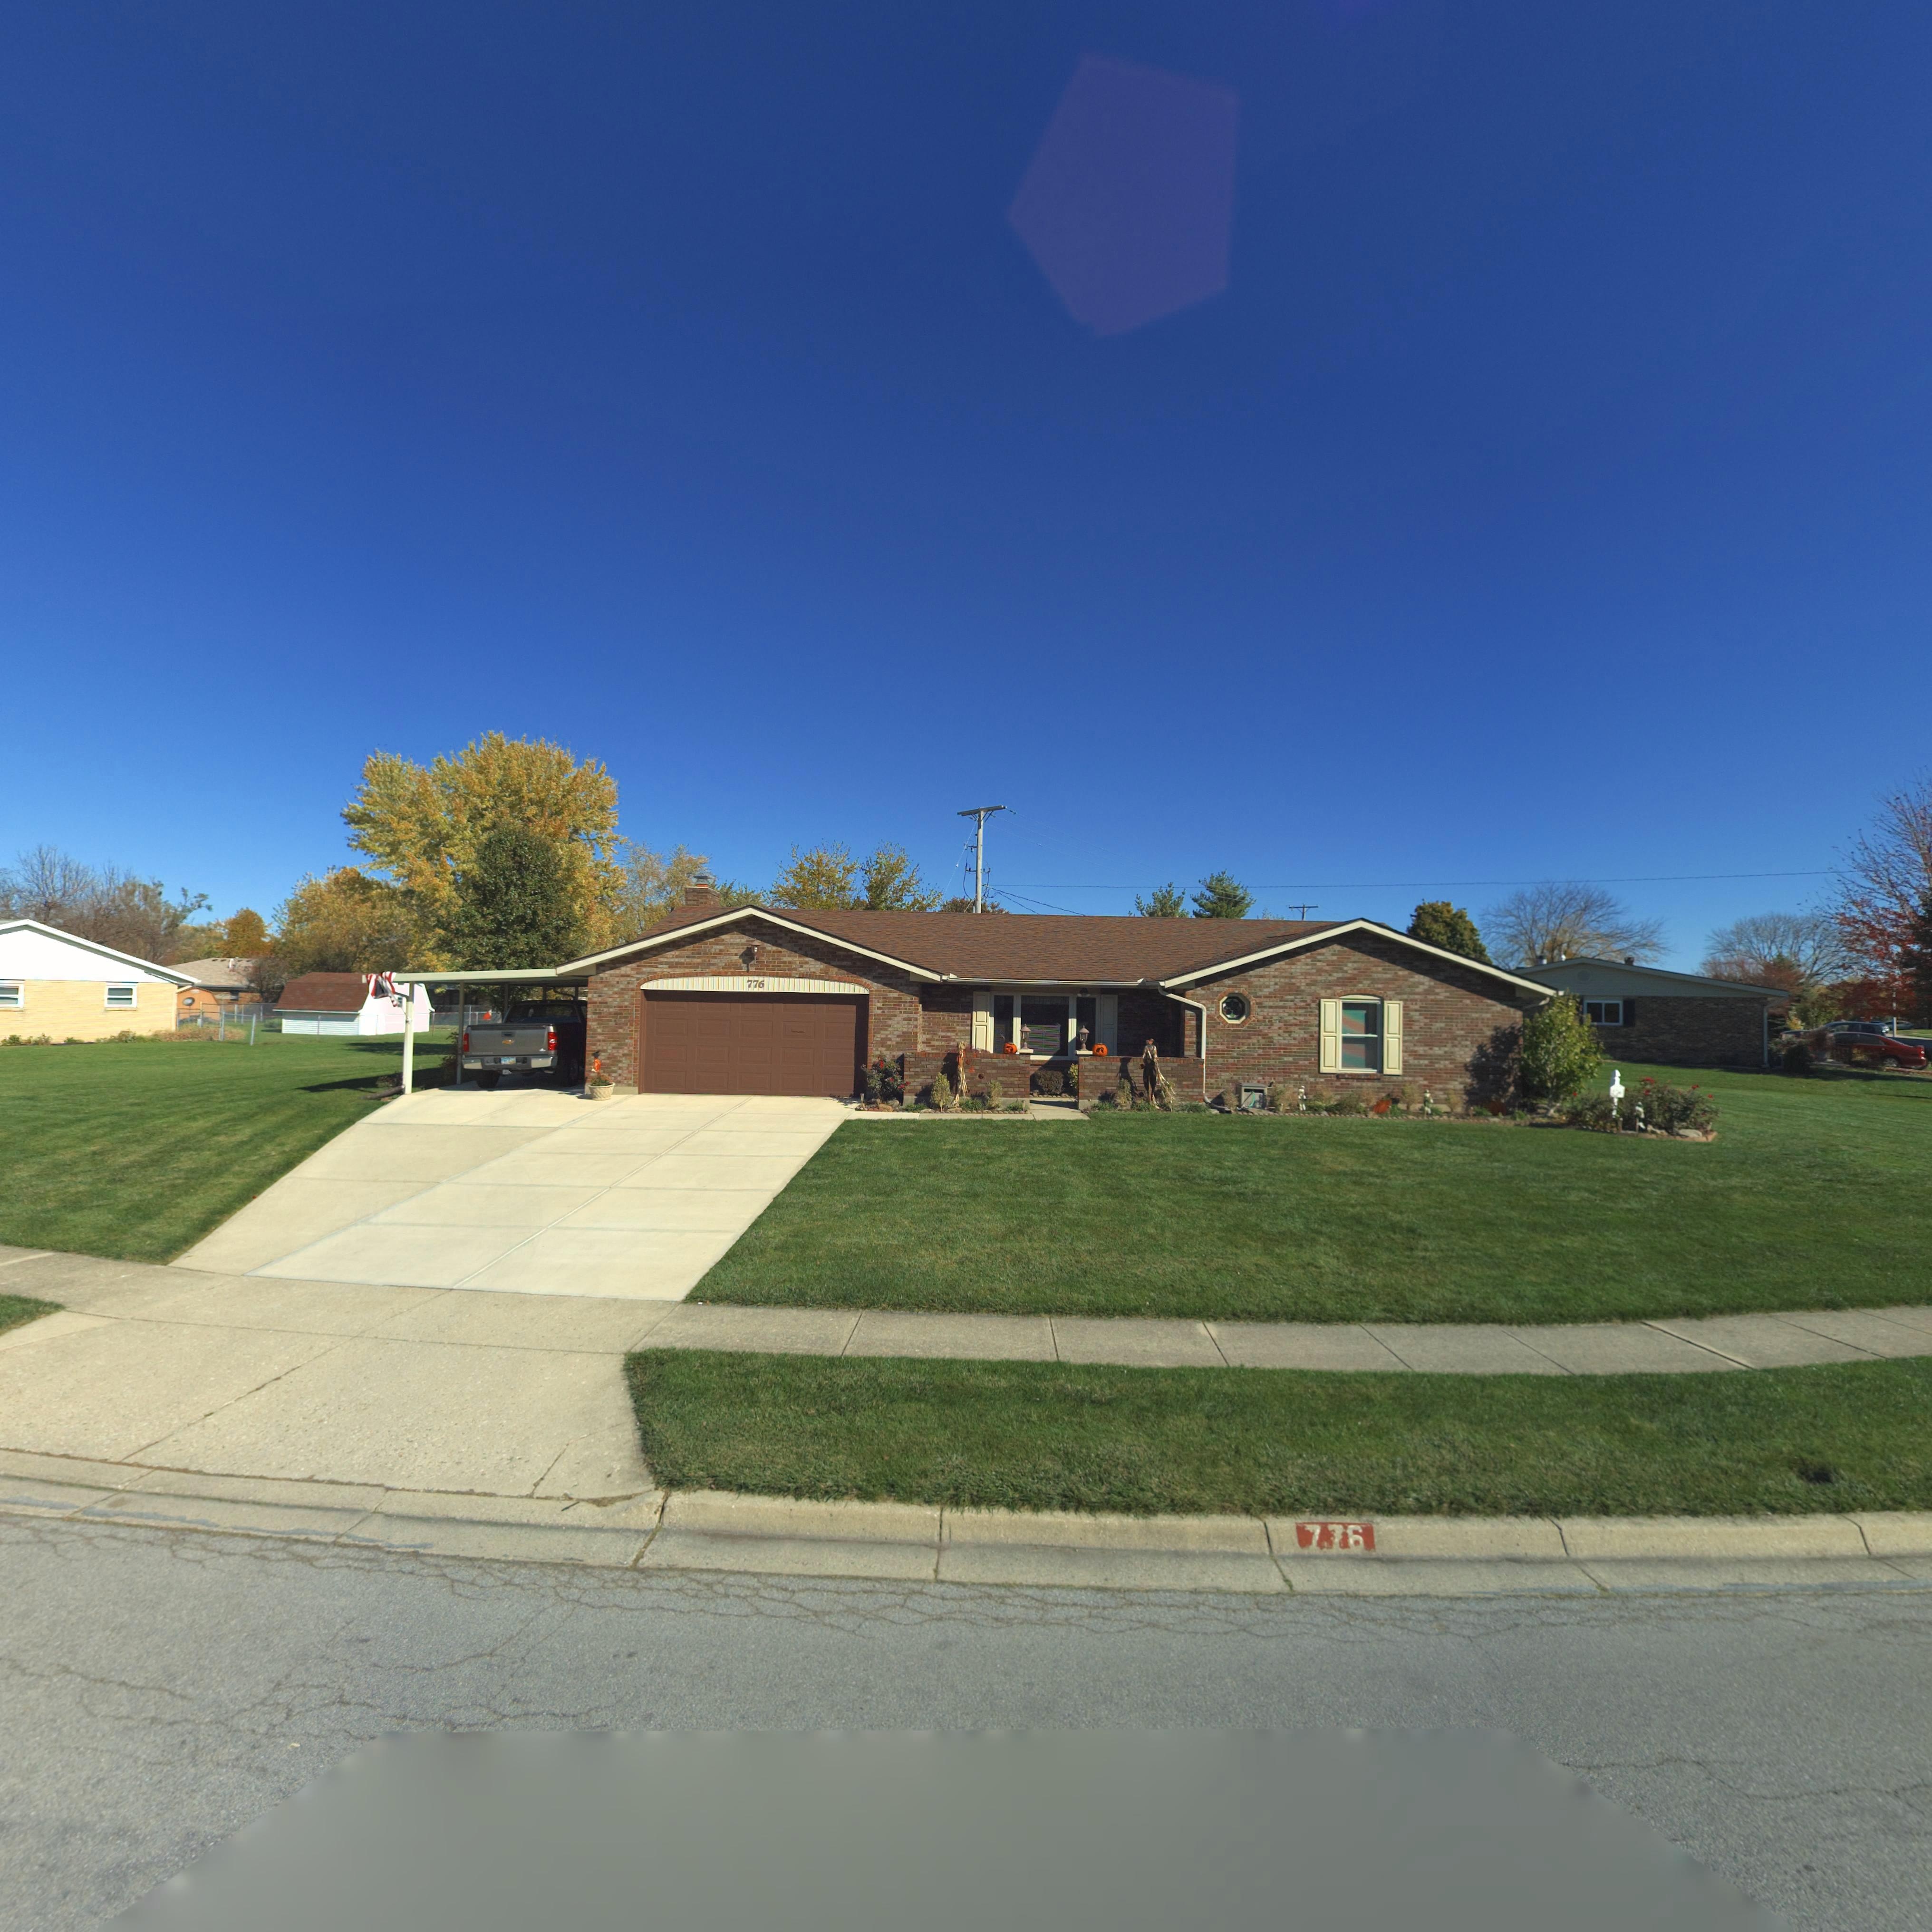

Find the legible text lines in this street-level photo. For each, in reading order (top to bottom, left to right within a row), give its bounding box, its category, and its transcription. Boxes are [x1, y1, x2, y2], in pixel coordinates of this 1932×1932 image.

[746, 979, 765, 988] StreetNumber: 776
[1303, 1524, 1365, 1552] StreetNumber: 776